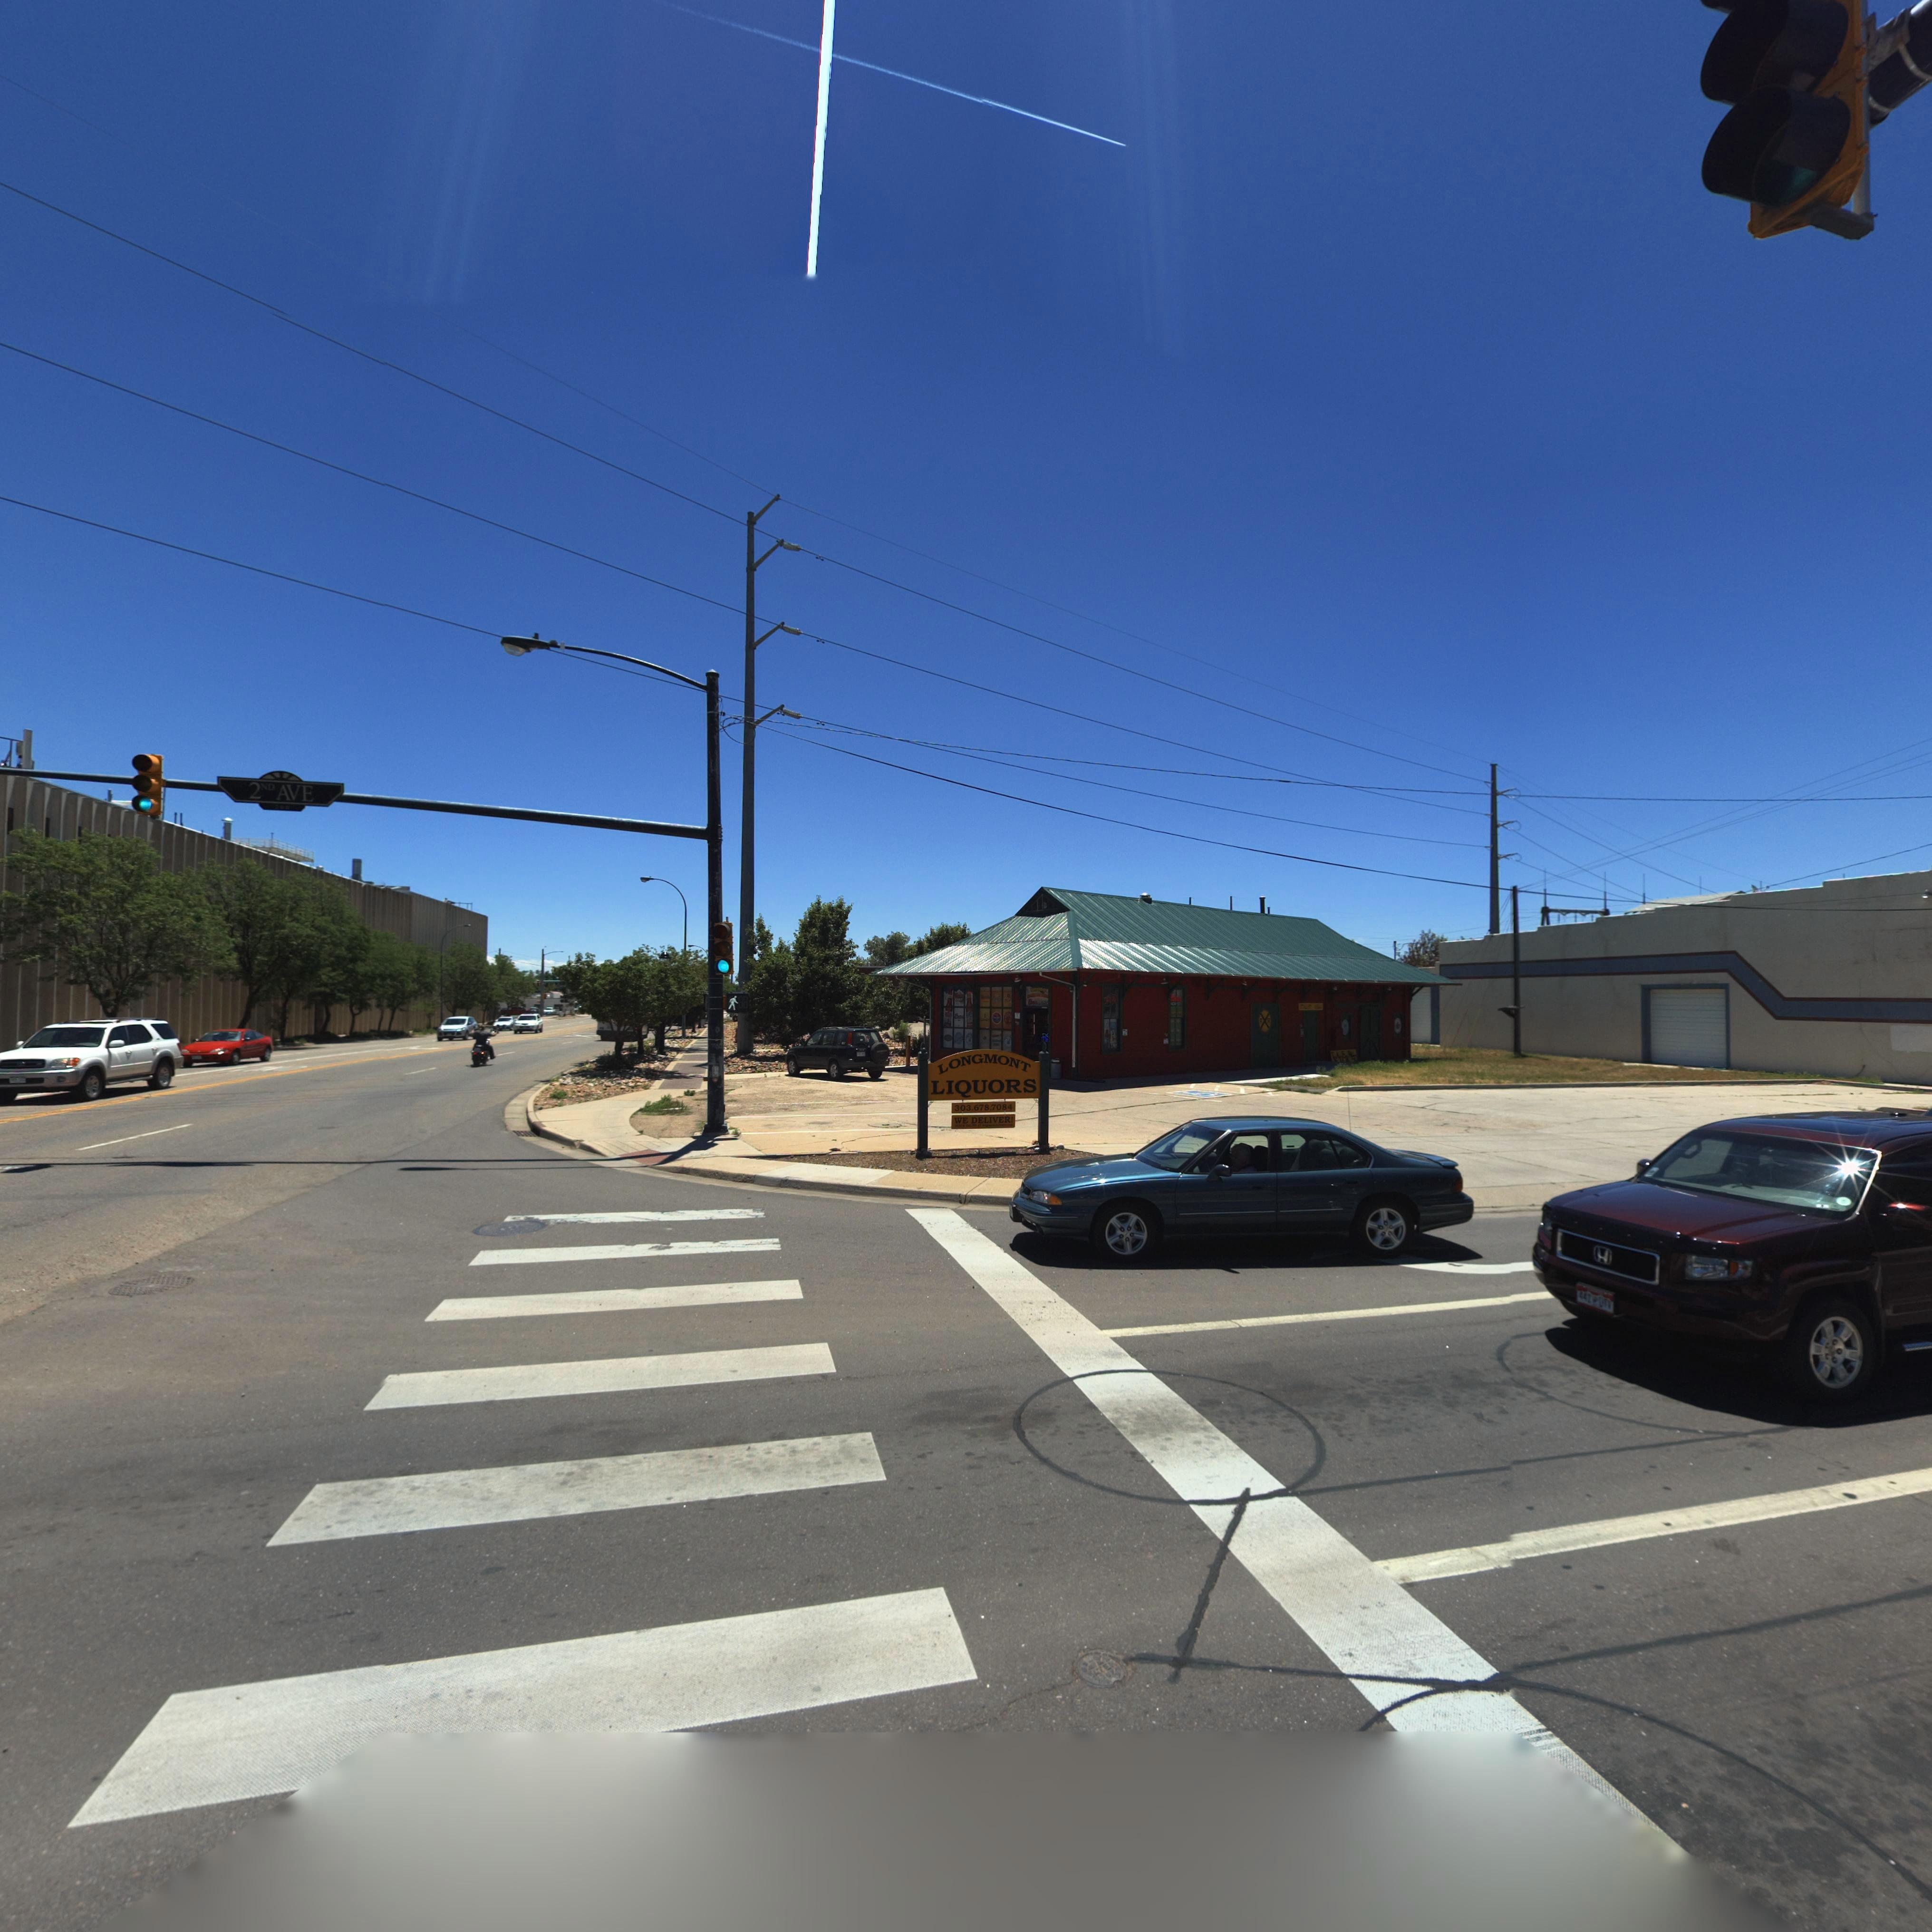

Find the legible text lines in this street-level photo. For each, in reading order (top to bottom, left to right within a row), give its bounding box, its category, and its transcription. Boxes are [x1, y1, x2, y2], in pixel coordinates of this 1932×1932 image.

[249, 781, 314, 802] StreetName: 2ND AVE
[937, 1053, 1031, 1075] BusinessName: LONGMONT
[1330, 1050, 1358, 1063] BusinessName: T*ADER **D
[930, 1078, 1036, 1098] BusinessName: LIQUORS